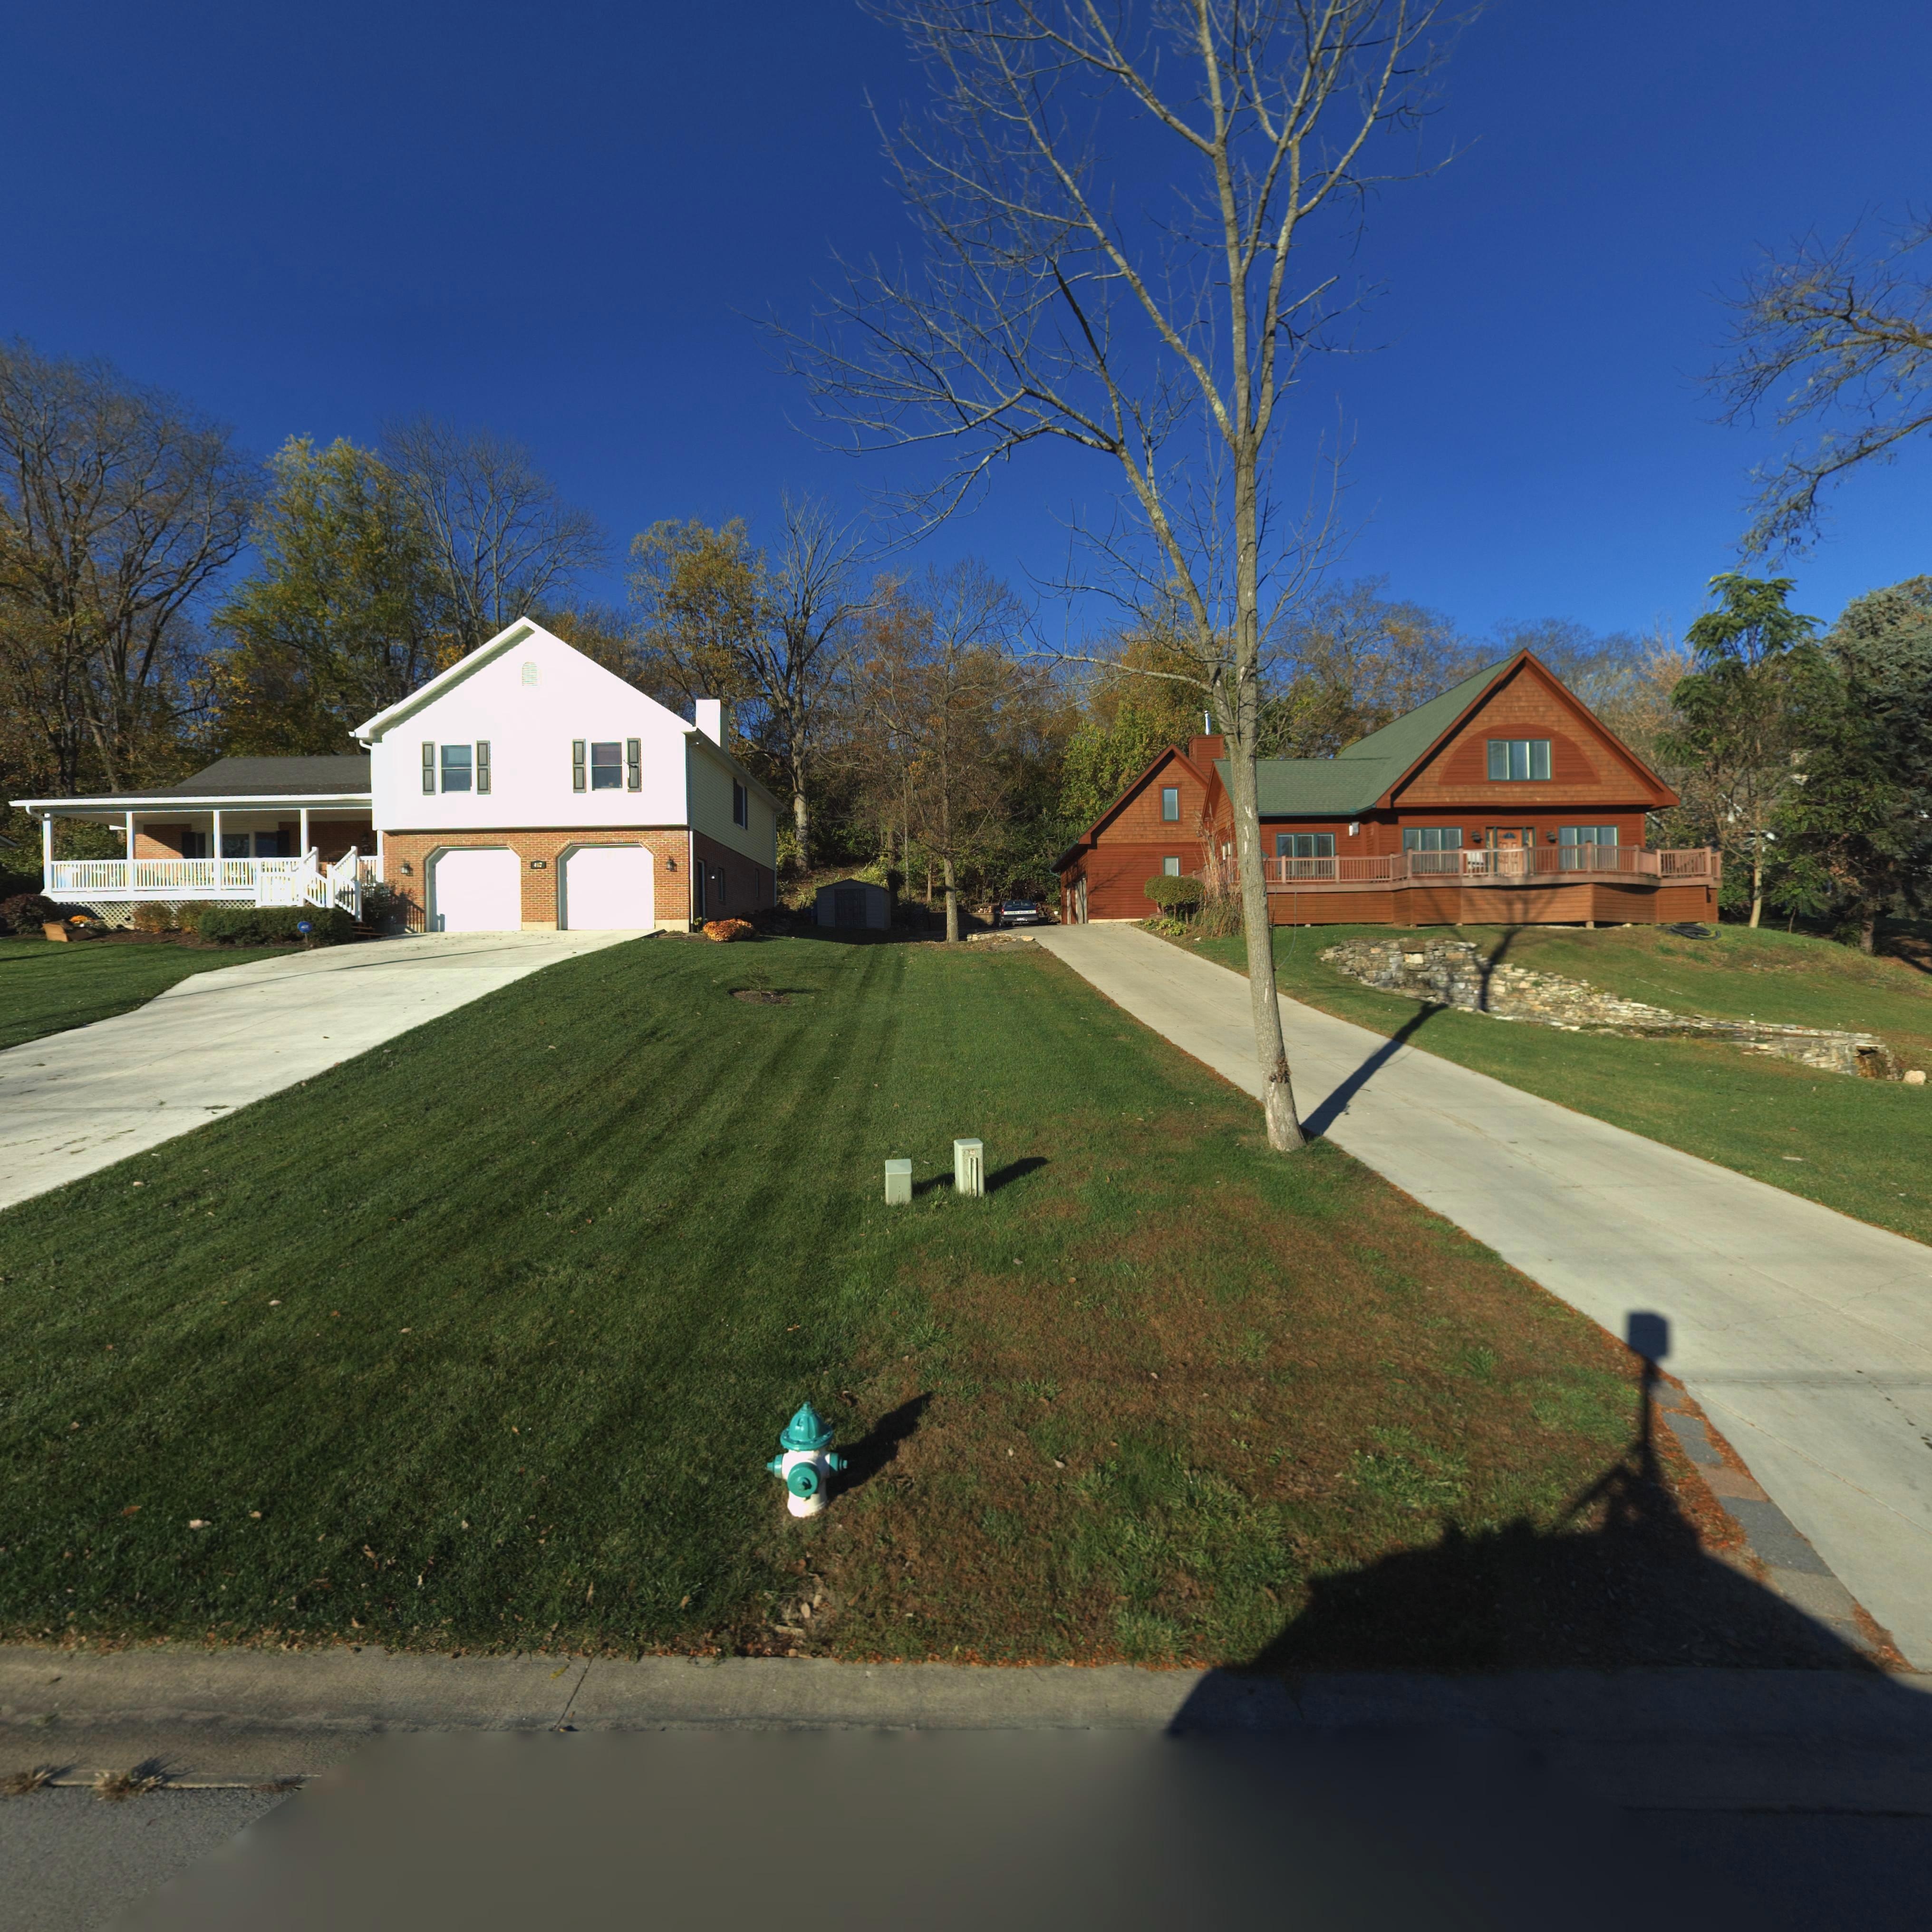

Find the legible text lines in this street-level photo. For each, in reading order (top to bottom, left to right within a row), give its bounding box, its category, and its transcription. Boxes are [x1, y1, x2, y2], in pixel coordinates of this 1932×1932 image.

[533, 862, 543, 868] StreetNumber: 407